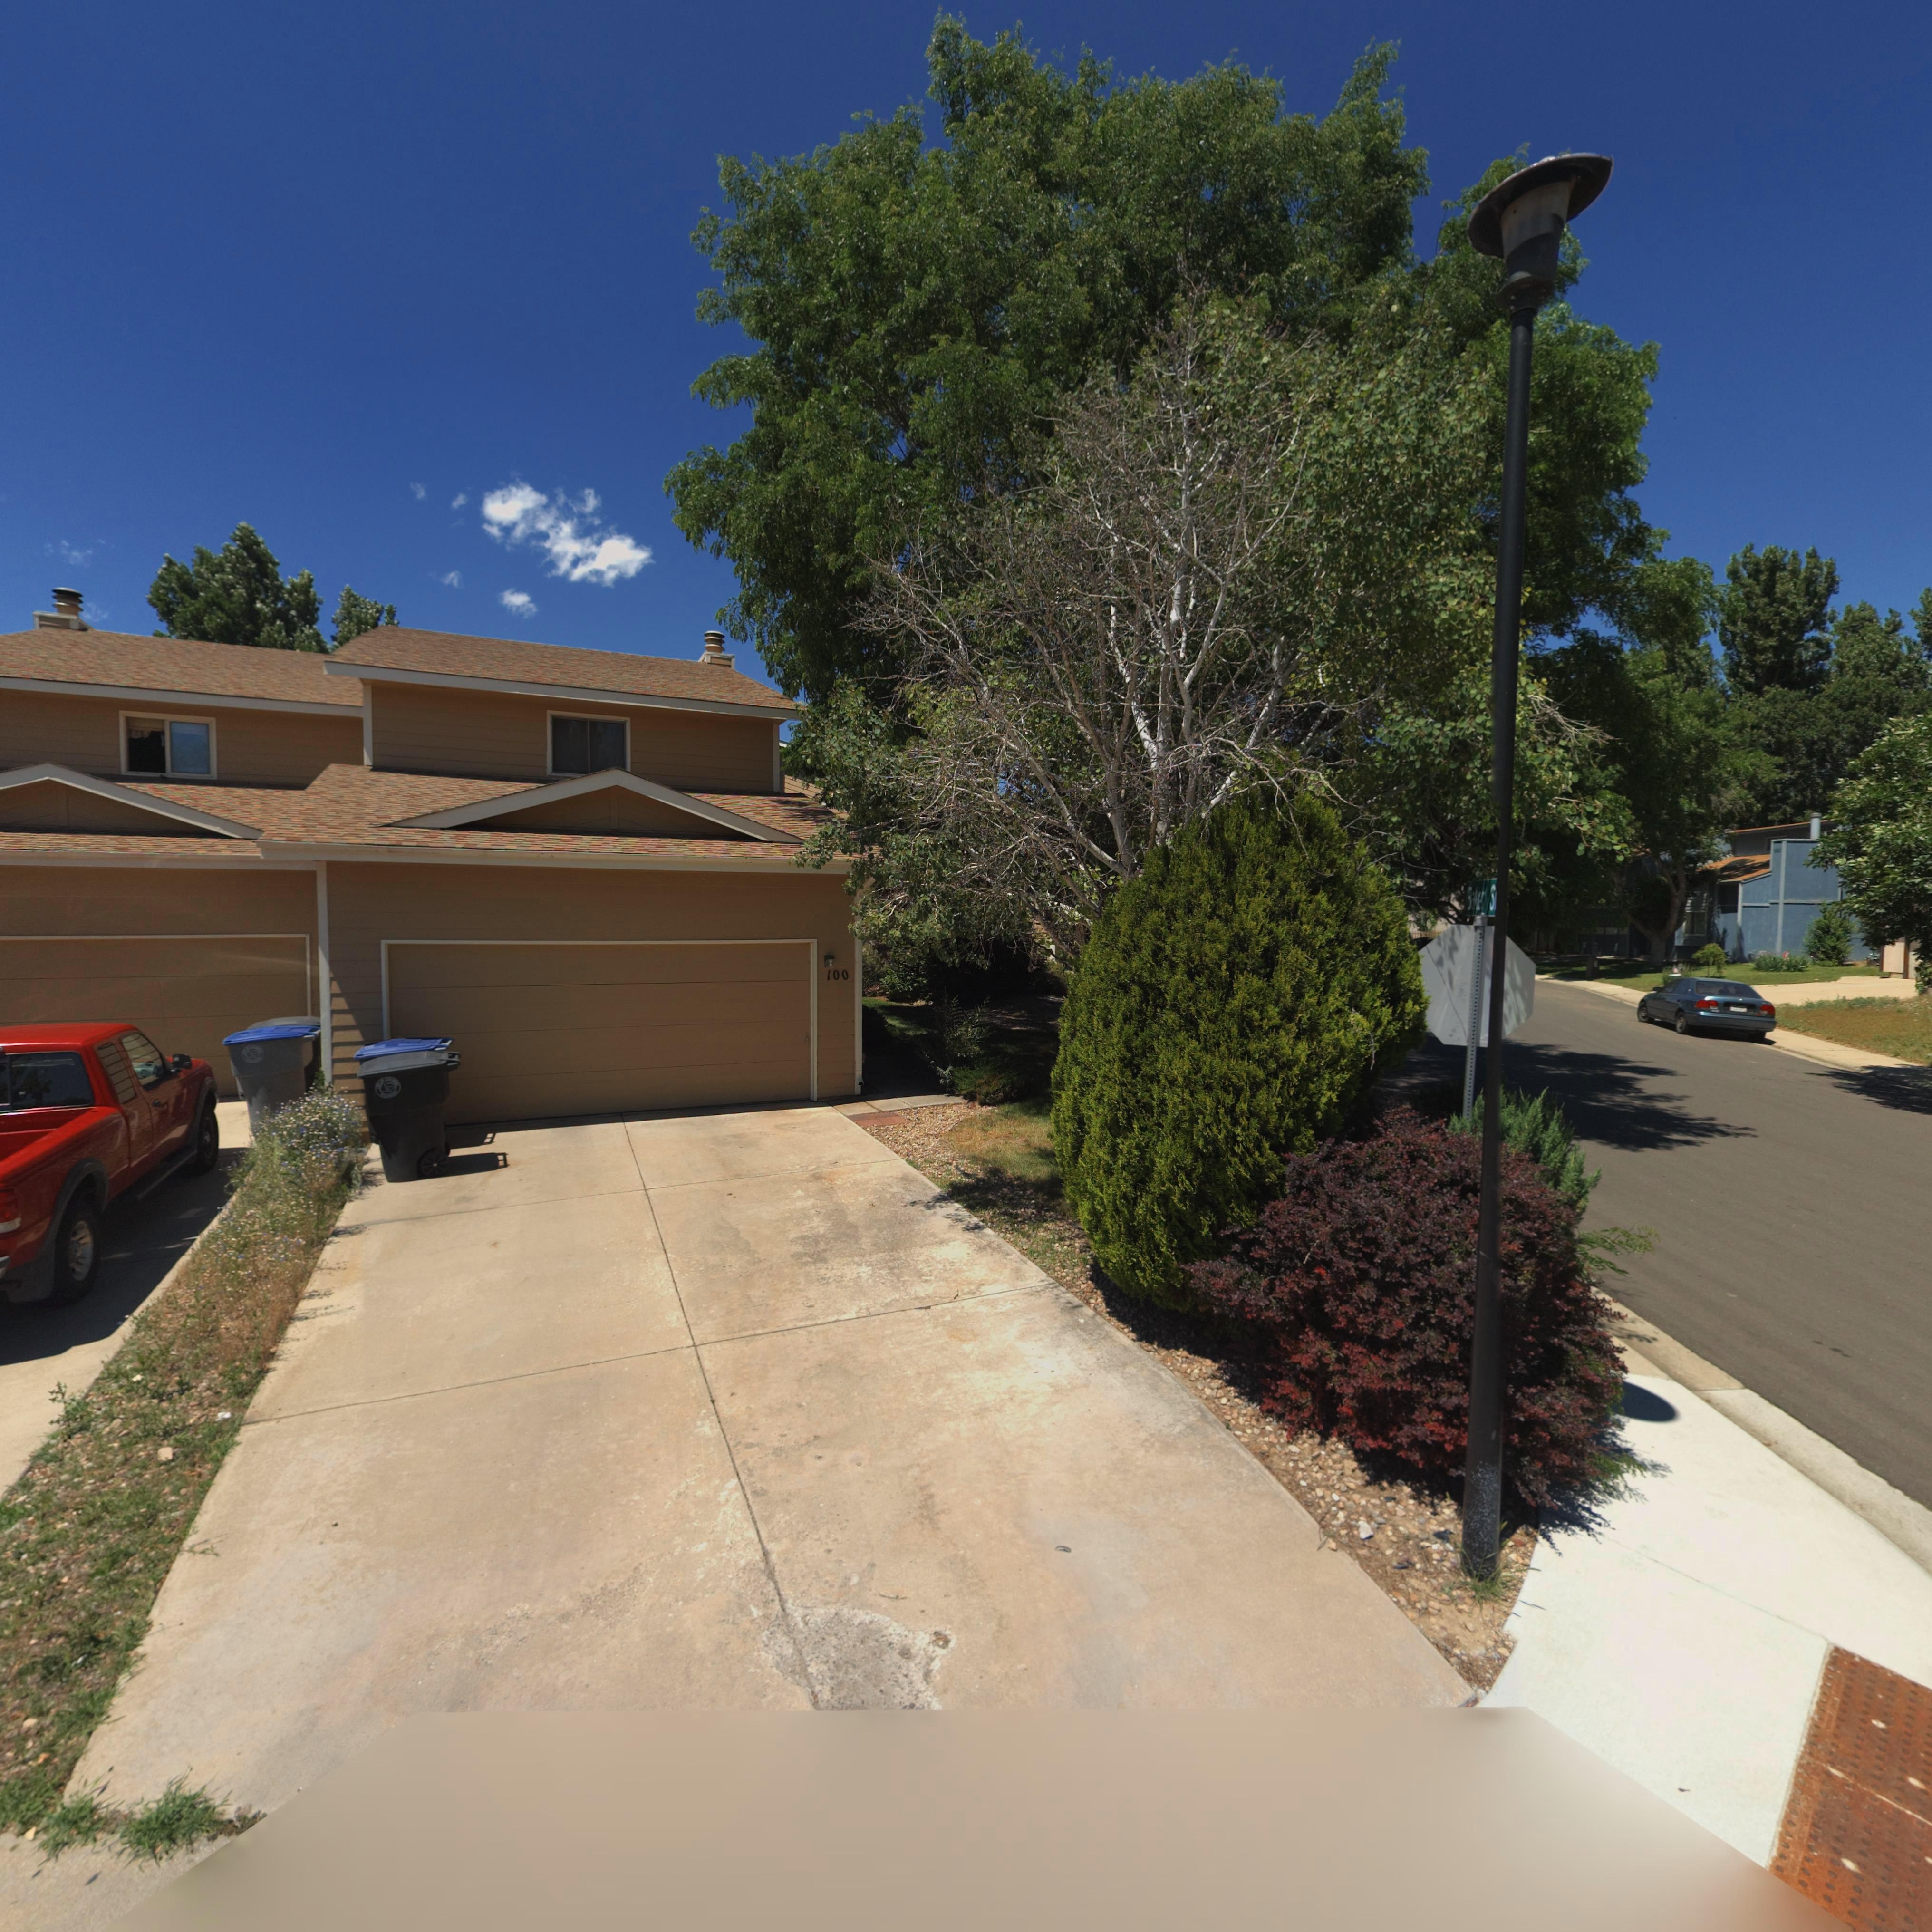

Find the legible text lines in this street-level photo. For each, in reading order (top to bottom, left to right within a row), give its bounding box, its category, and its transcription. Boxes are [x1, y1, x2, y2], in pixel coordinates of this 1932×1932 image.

[1466, 883, 1497, 912] StreetName: Bak*r S
[826, 969, 849, 981] StreetNumber: 100